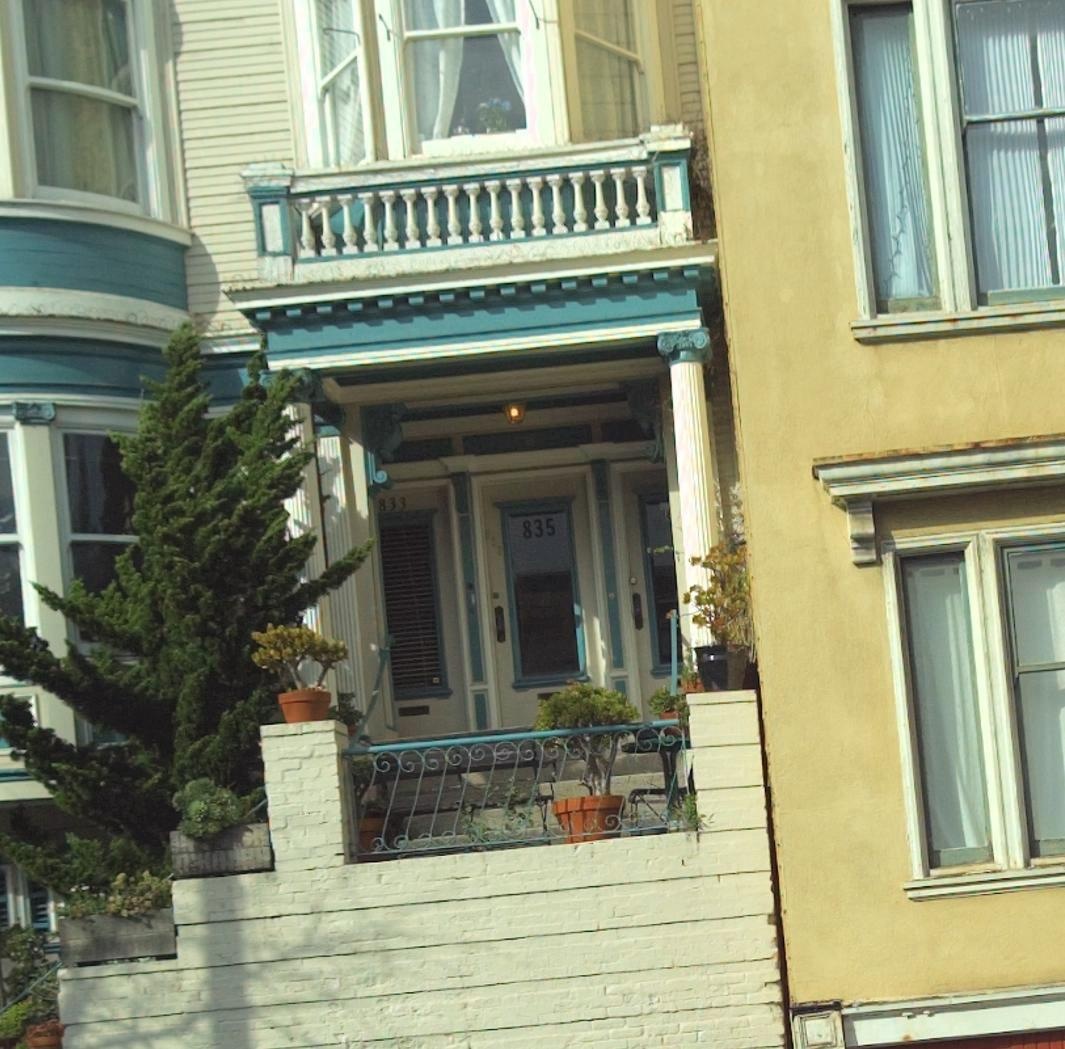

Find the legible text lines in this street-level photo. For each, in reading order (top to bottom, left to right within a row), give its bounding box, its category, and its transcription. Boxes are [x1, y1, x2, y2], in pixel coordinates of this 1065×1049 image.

[376, 494, 410, 515] StreetNumber: 833
[519, 514, 558, 542] StreetNumber: 835